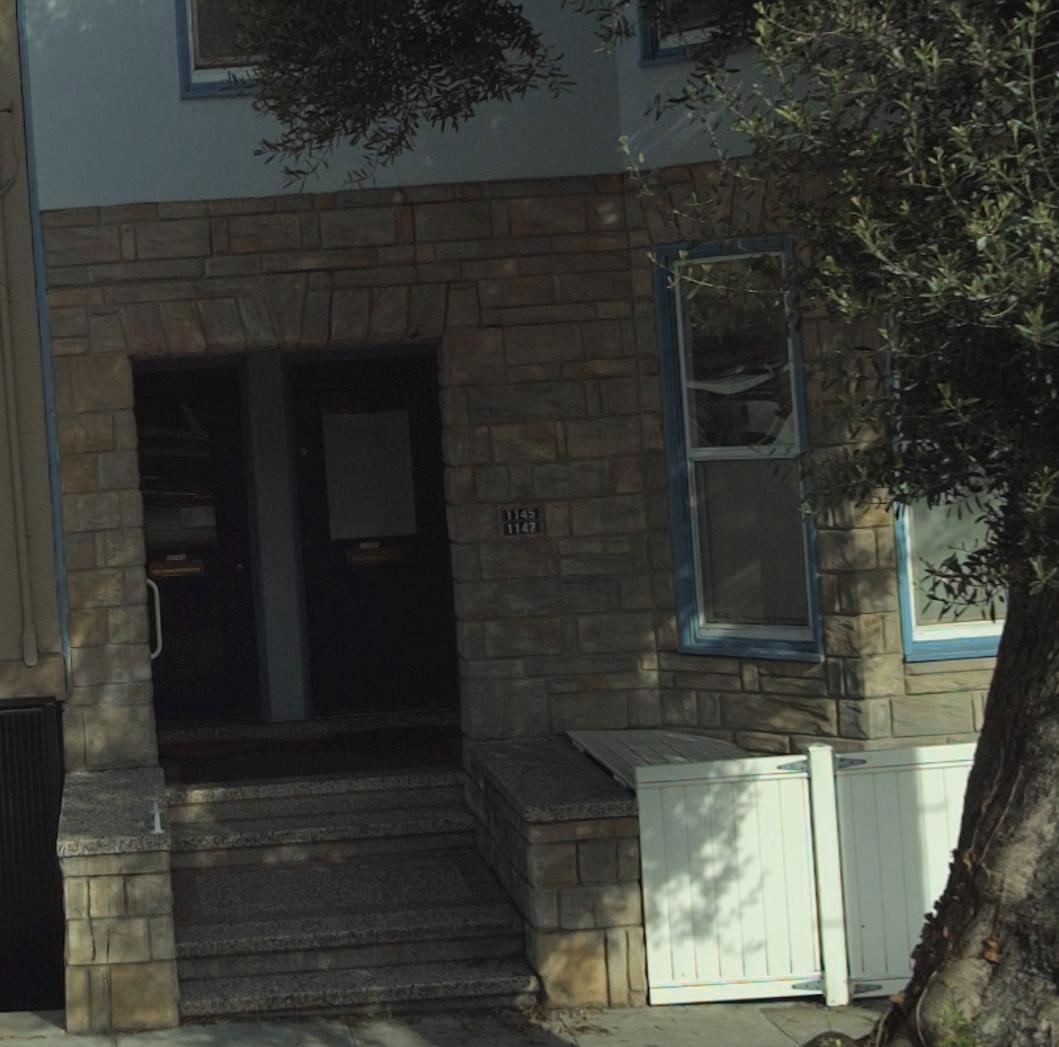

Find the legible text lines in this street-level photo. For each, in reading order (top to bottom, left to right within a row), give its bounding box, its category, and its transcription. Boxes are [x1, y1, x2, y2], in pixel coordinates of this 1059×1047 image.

[505, 508, 537, 521] StreetNumber: 1145
[507, 521, 538, 534] StreetNumber: 1147